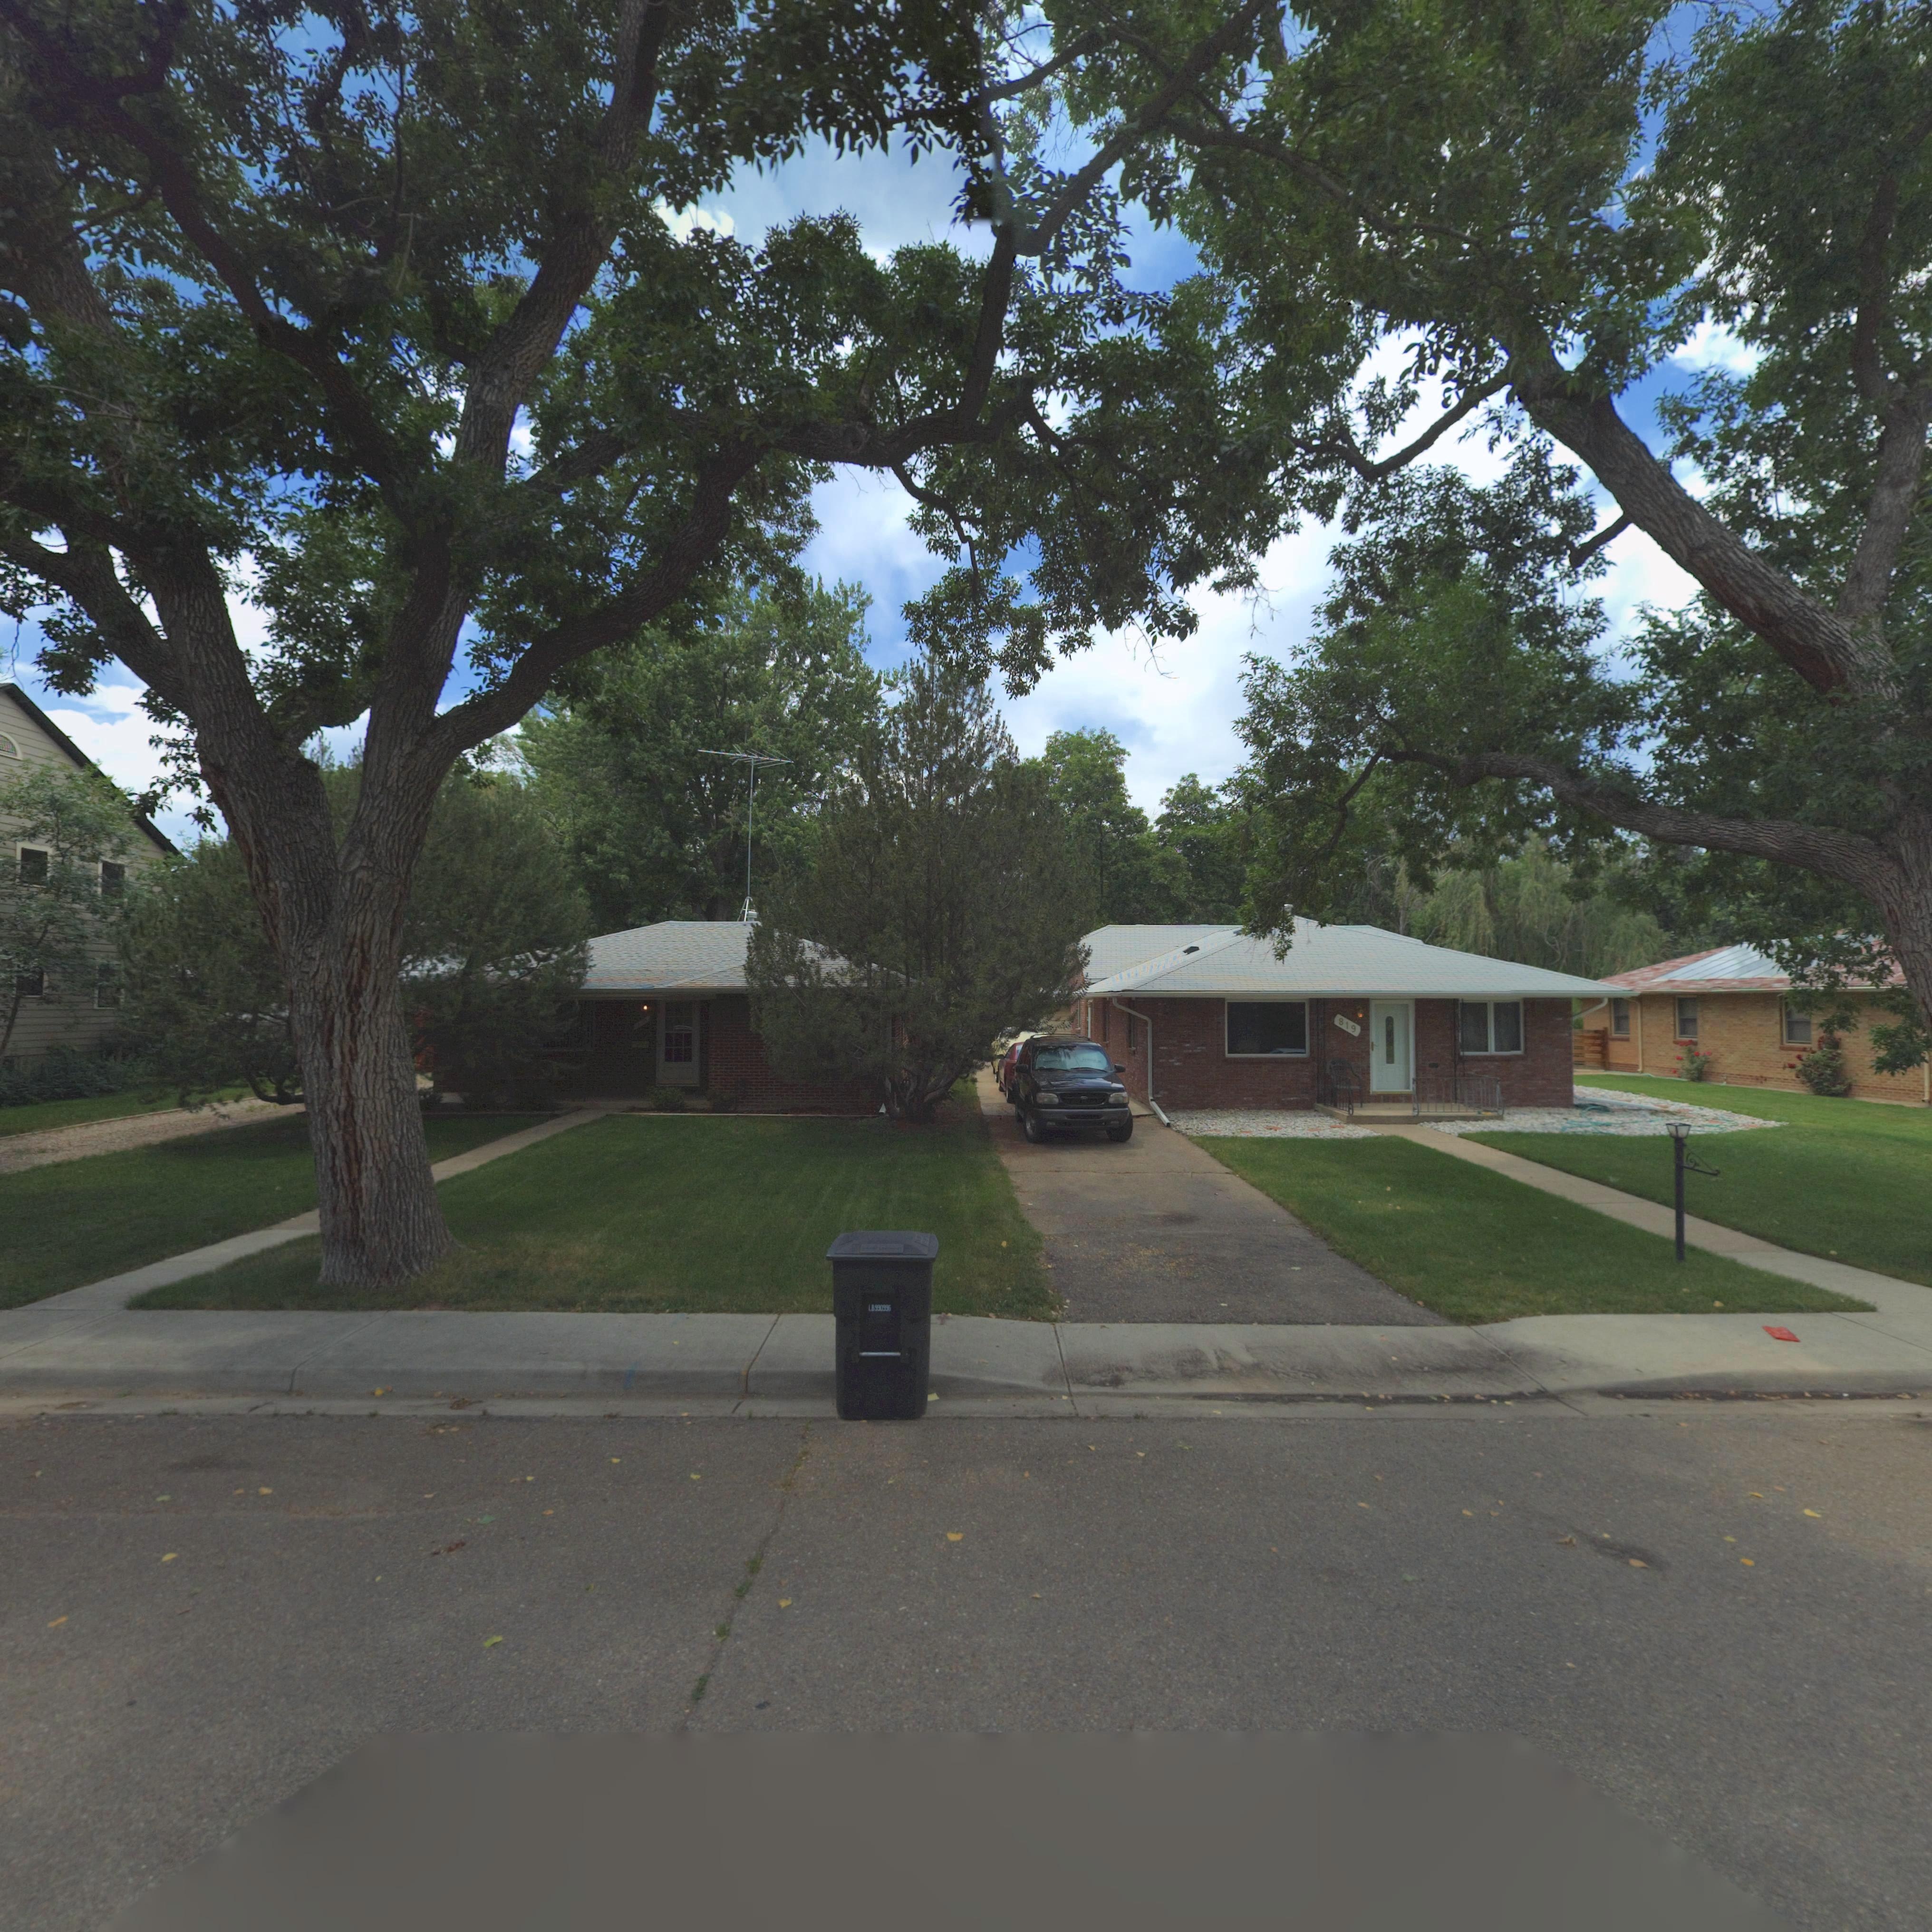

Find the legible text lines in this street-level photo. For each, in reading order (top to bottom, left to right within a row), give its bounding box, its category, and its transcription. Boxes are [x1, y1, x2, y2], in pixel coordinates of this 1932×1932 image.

[1338, 1017, 1356, 1033] StreetNumber: 819